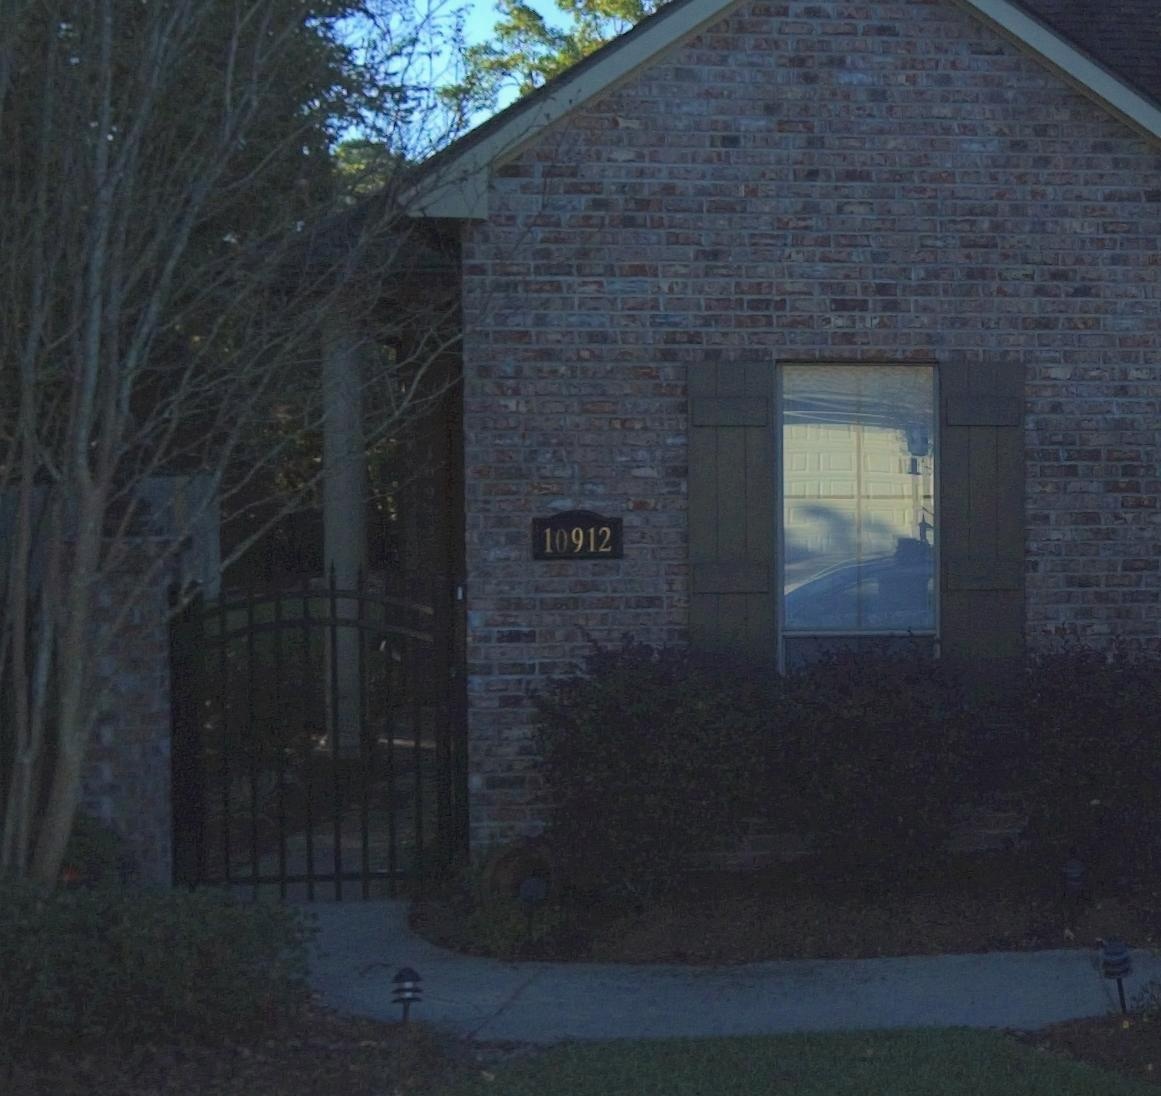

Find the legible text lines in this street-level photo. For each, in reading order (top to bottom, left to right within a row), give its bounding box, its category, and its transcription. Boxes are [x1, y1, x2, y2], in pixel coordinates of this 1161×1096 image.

[540, 524, 614, 555] StreetNumber: 10912